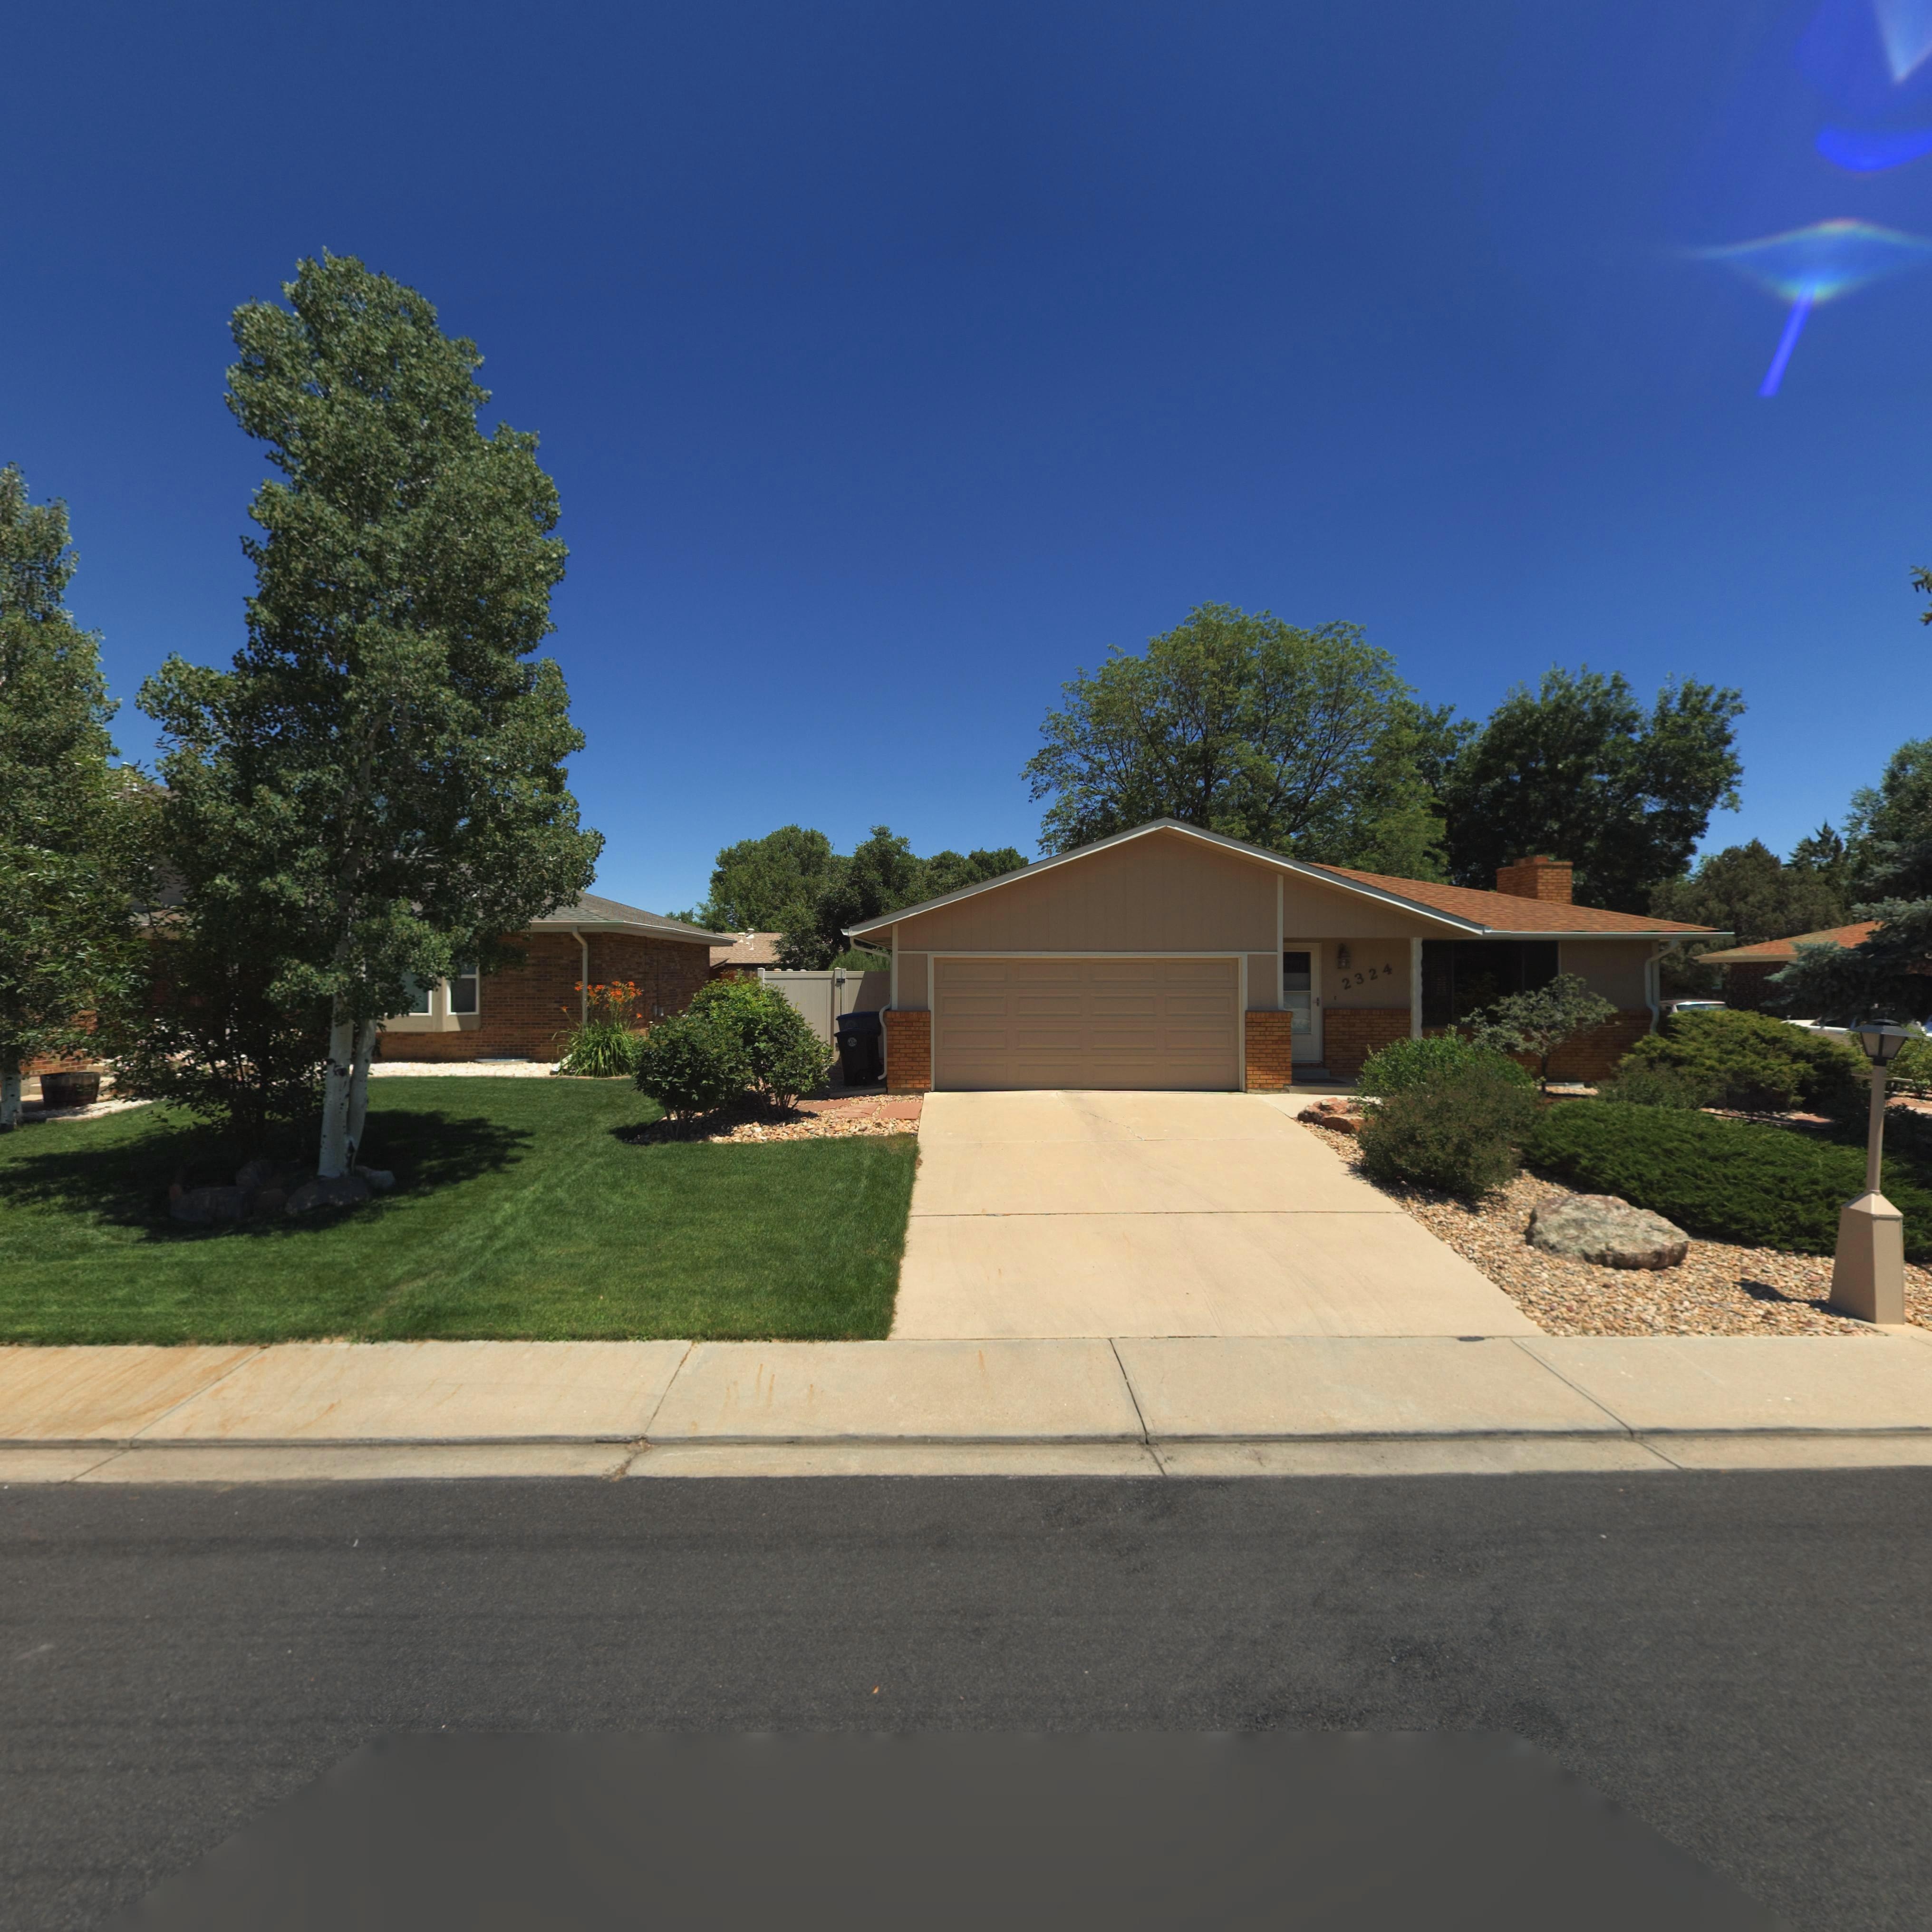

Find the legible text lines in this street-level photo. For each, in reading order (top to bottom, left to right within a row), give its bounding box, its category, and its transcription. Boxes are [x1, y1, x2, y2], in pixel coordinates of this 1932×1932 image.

[1341, 962, 1392, 990] StreetNumber: 2324